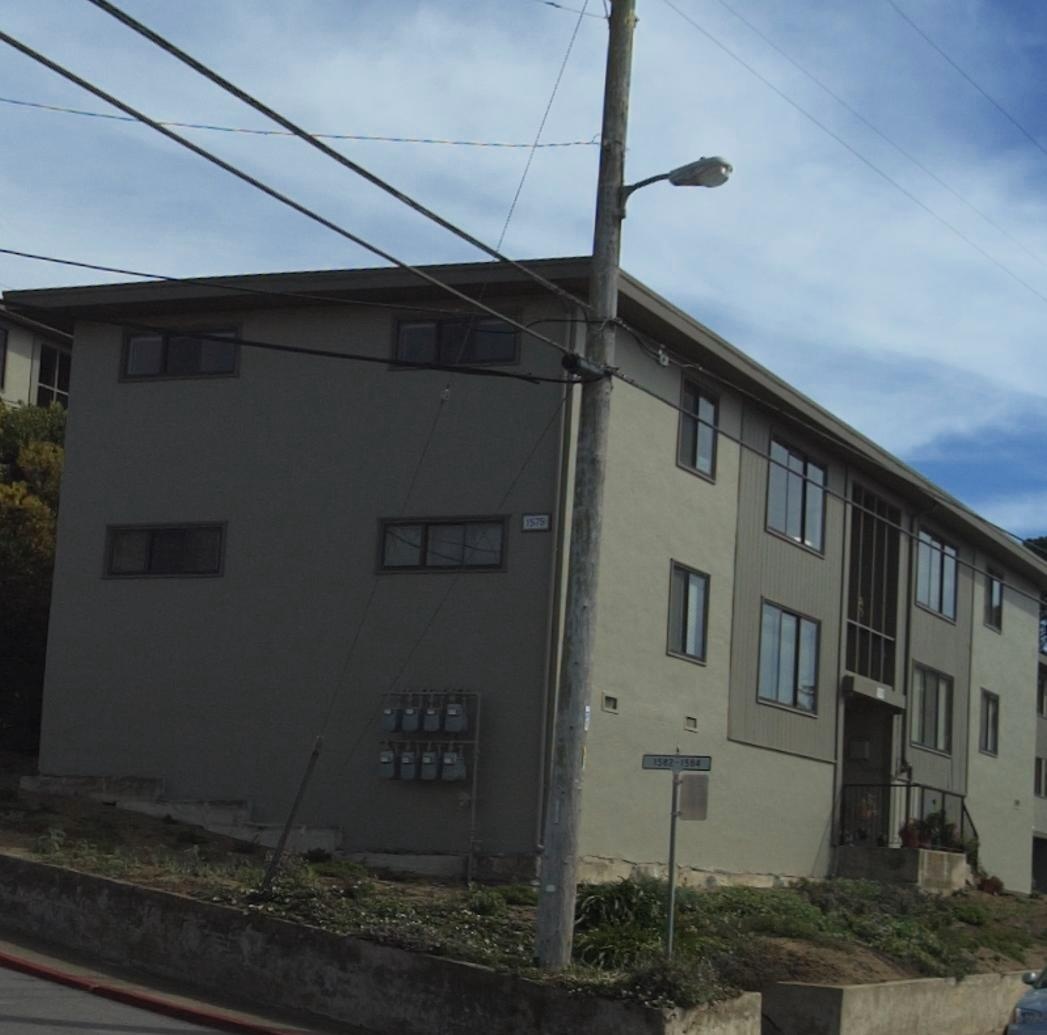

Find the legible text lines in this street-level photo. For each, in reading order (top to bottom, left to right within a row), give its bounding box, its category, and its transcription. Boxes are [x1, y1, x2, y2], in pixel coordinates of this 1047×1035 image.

[524, 515, 547, 529] StreetNumber: 1575
[651, 755, 703, 770] StreetNumberRange: 15*2-15*4